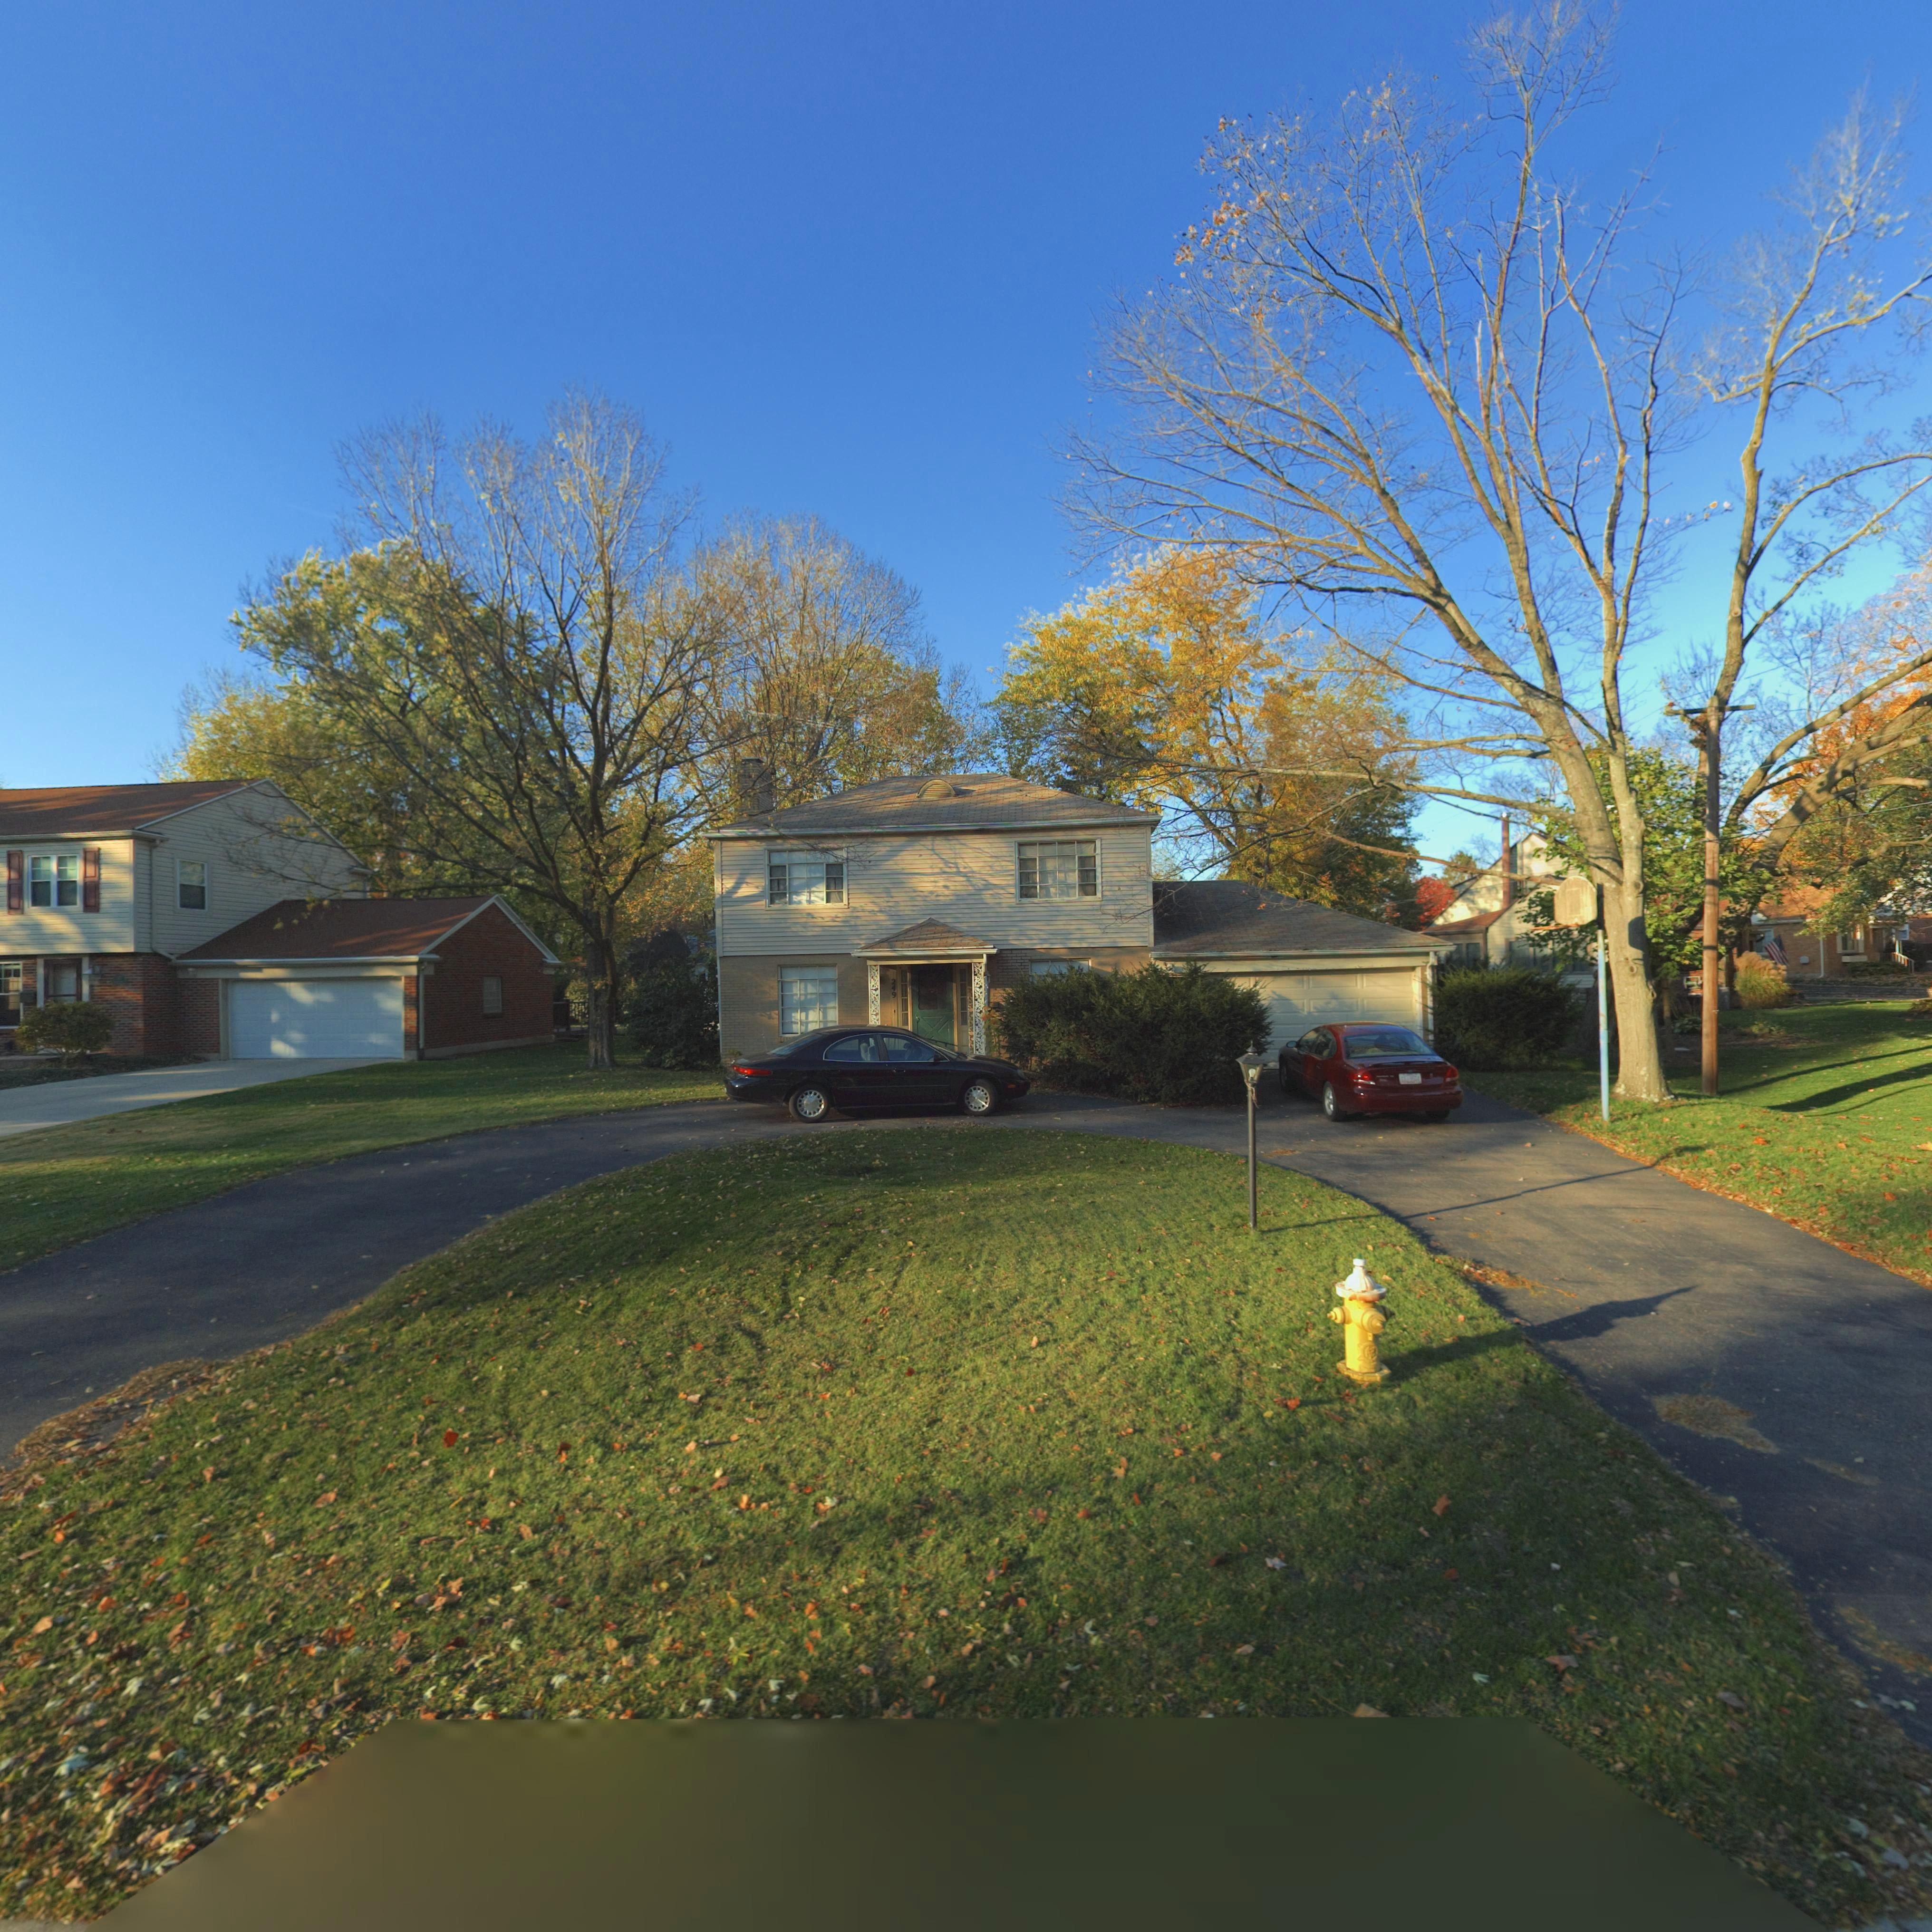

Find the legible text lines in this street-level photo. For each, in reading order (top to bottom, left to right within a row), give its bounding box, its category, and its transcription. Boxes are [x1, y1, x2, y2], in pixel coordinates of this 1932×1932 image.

[891, 978, 897, 999] StreetNumber: 249